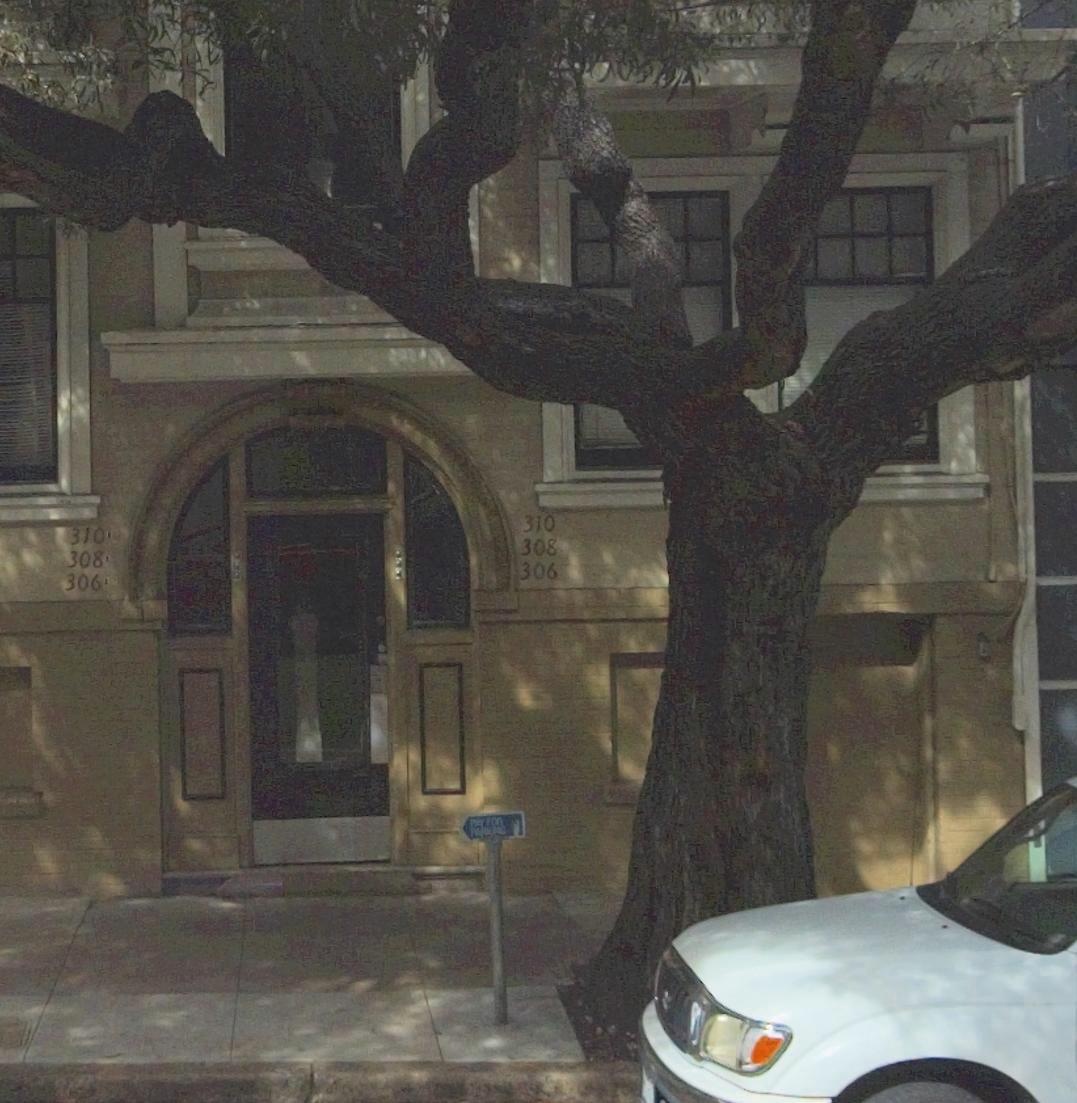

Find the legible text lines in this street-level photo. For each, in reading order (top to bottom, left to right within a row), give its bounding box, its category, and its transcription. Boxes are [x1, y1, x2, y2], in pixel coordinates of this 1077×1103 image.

[69, 524, 106, 546] StreetNumber: 310
[522, 513, 557, 535] StreetNumber: 310
[520, 535, 558, 558] StreetNumber: 308
[67, 549, 104, 570] StreetNumber: 308
[65, 571, 103, 593] StreetNumber: 306
[519, 560, 558, 582] StreetNumber: 306